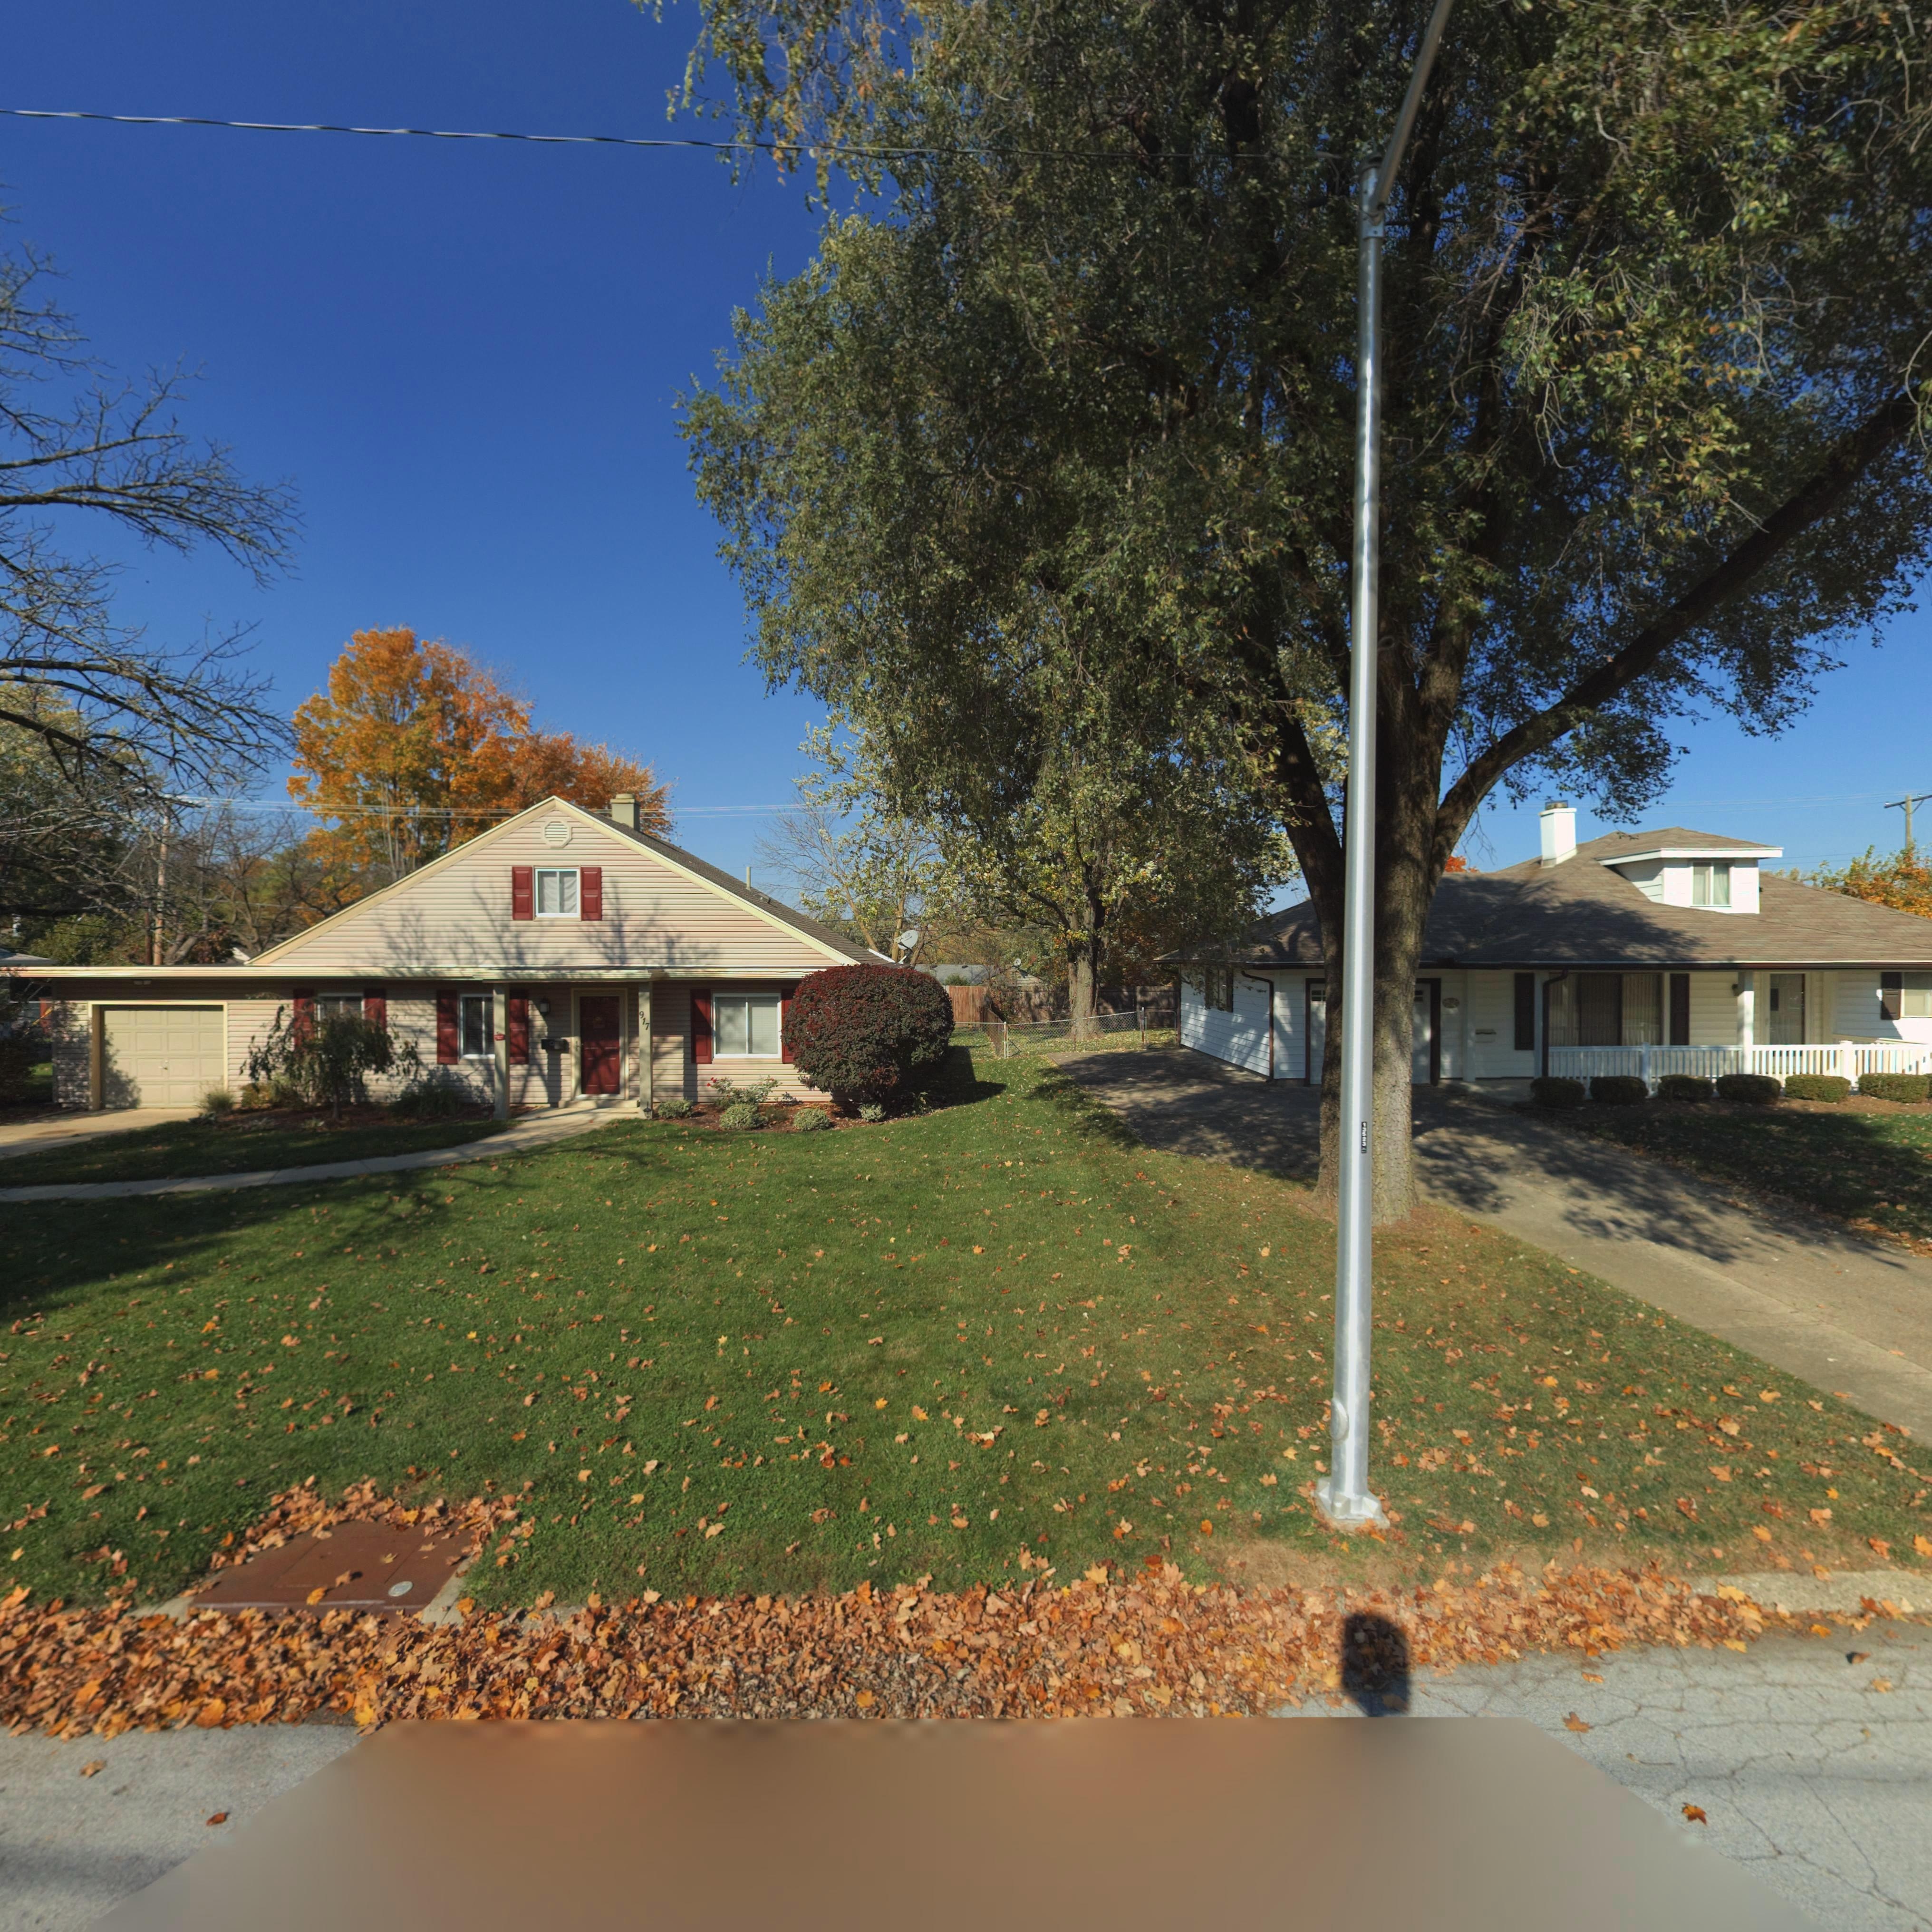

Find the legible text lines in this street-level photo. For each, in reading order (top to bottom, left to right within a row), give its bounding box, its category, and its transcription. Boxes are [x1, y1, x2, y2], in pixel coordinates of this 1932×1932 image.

[638, 1009, 651, 1031] StreetNumber: 917